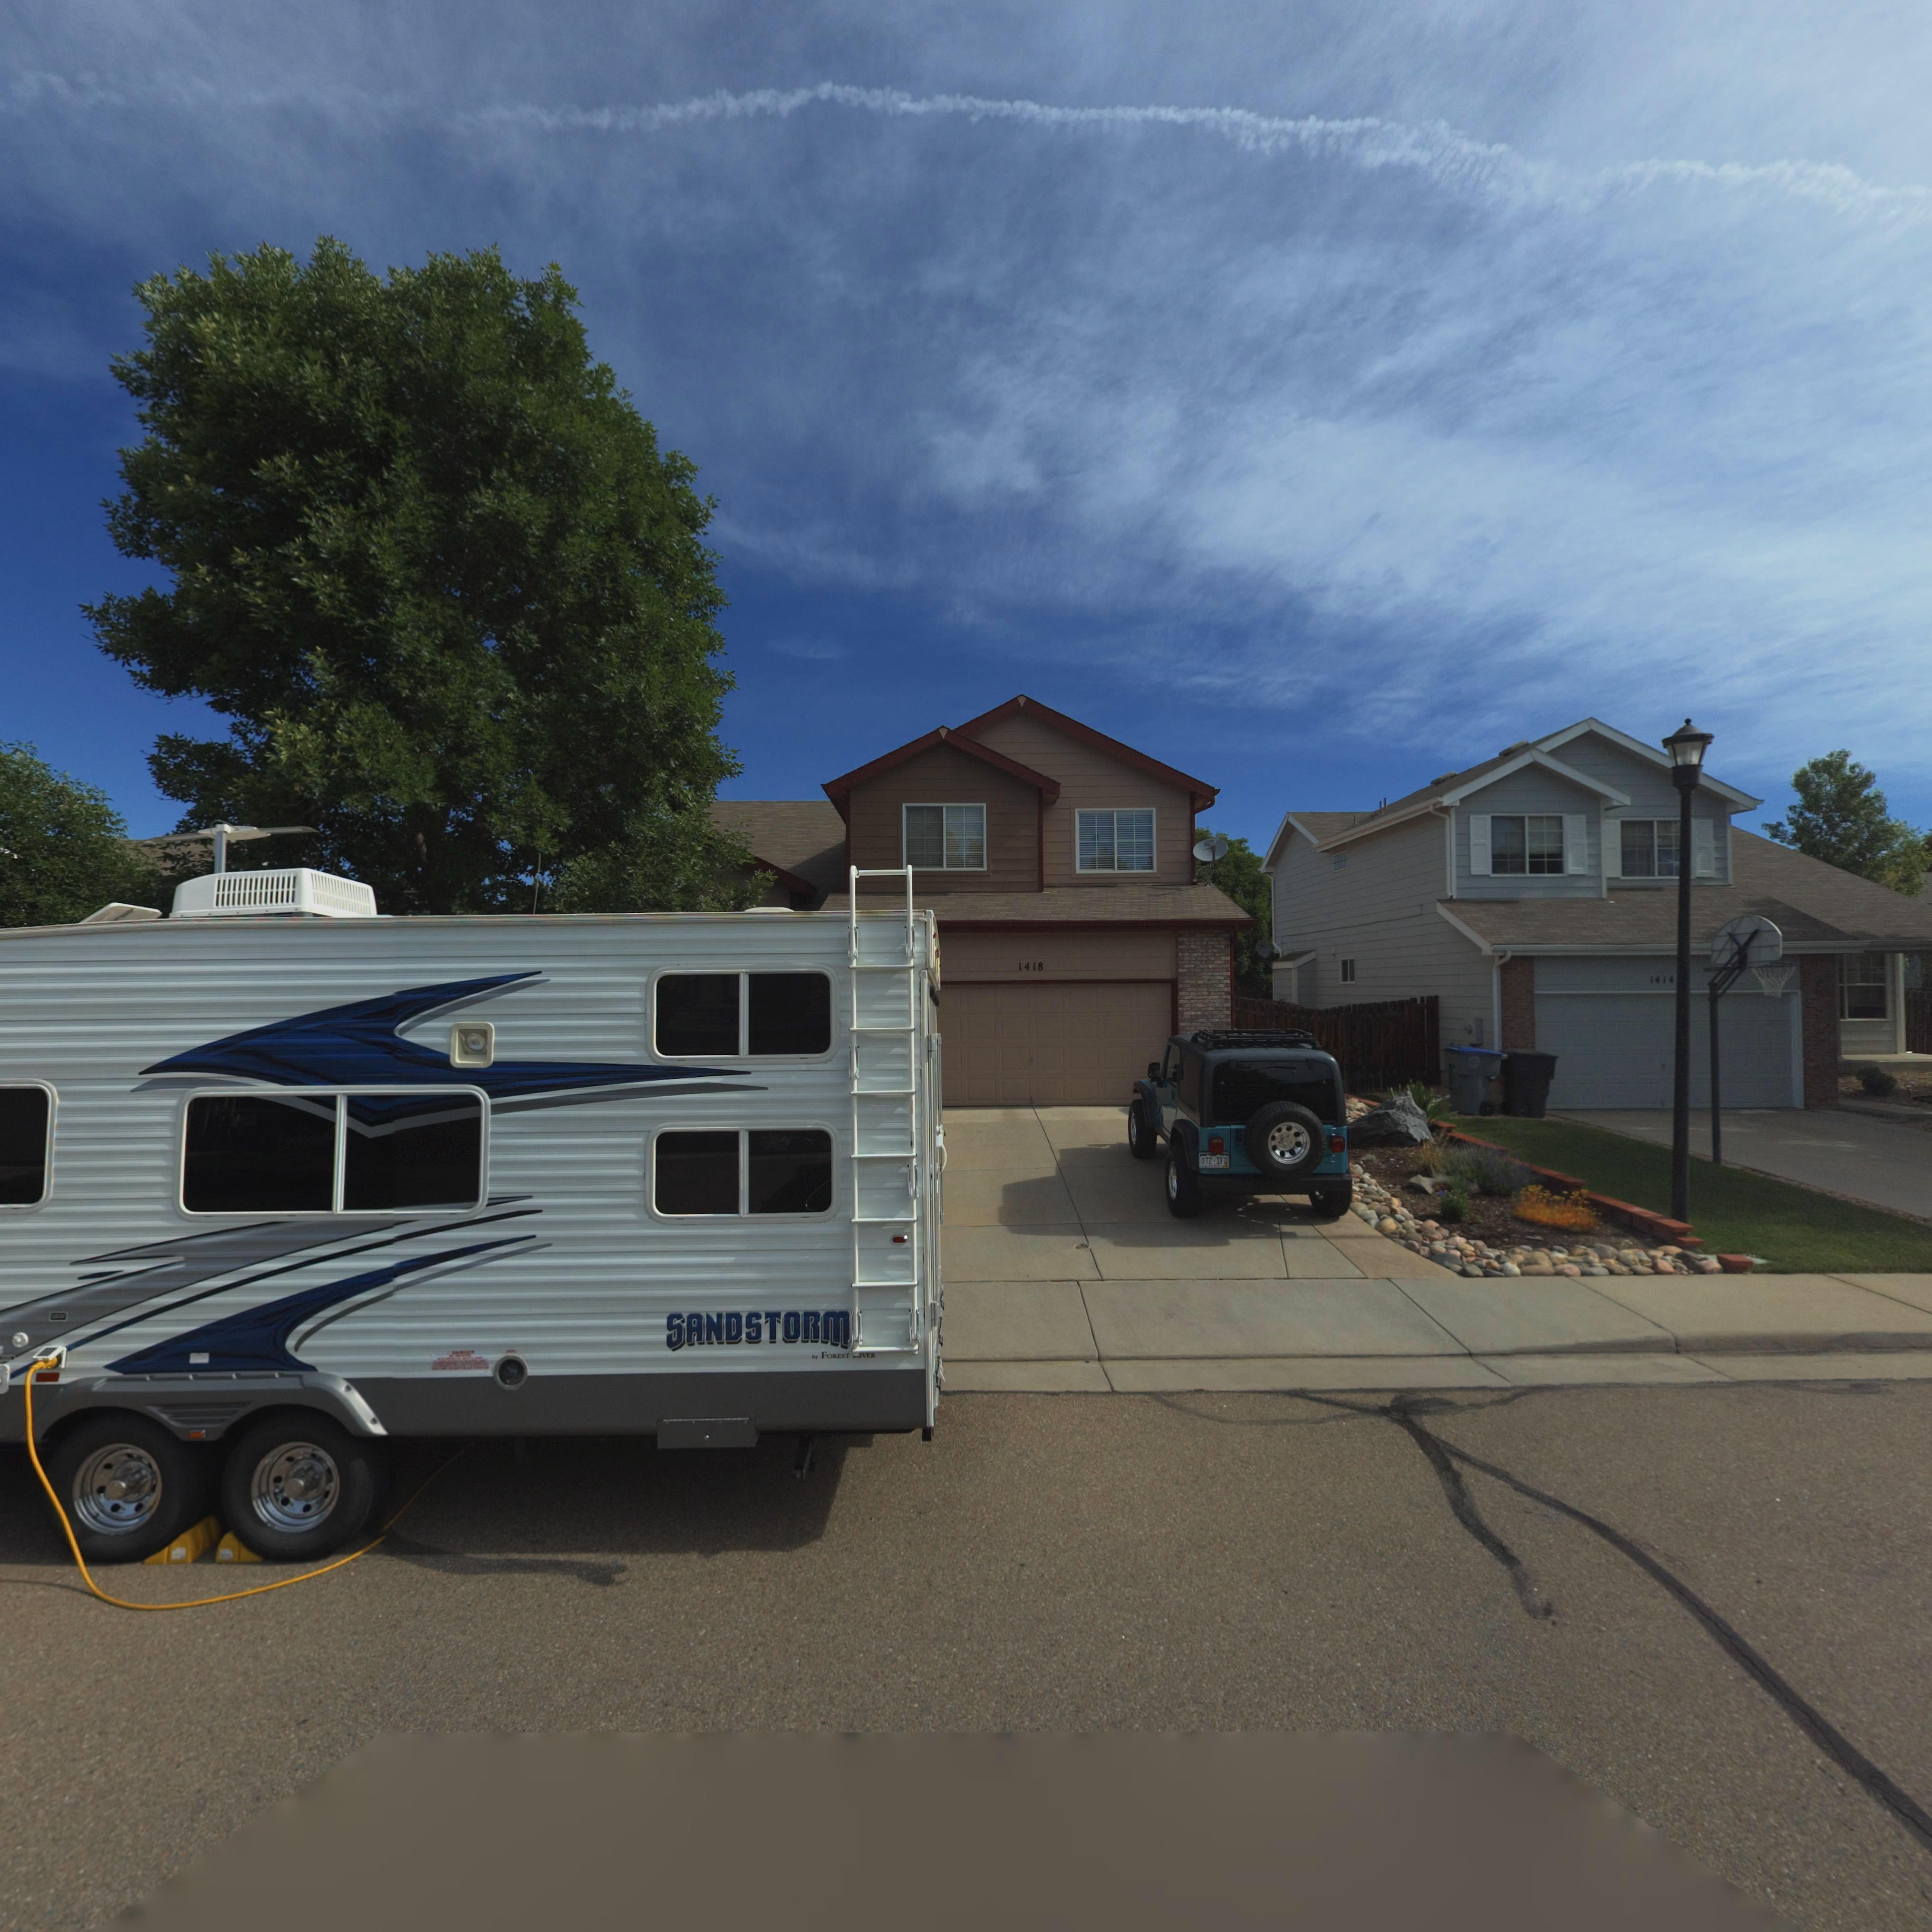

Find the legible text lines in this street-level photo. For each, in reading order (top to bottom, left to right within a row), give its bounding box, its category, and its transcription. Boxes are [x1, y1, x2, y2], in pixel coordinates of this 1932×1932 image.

[1018, 961, 1044, 971] StreetNumber: 1418
[1650, 975, 1673, 984] StreetNumber: 1414